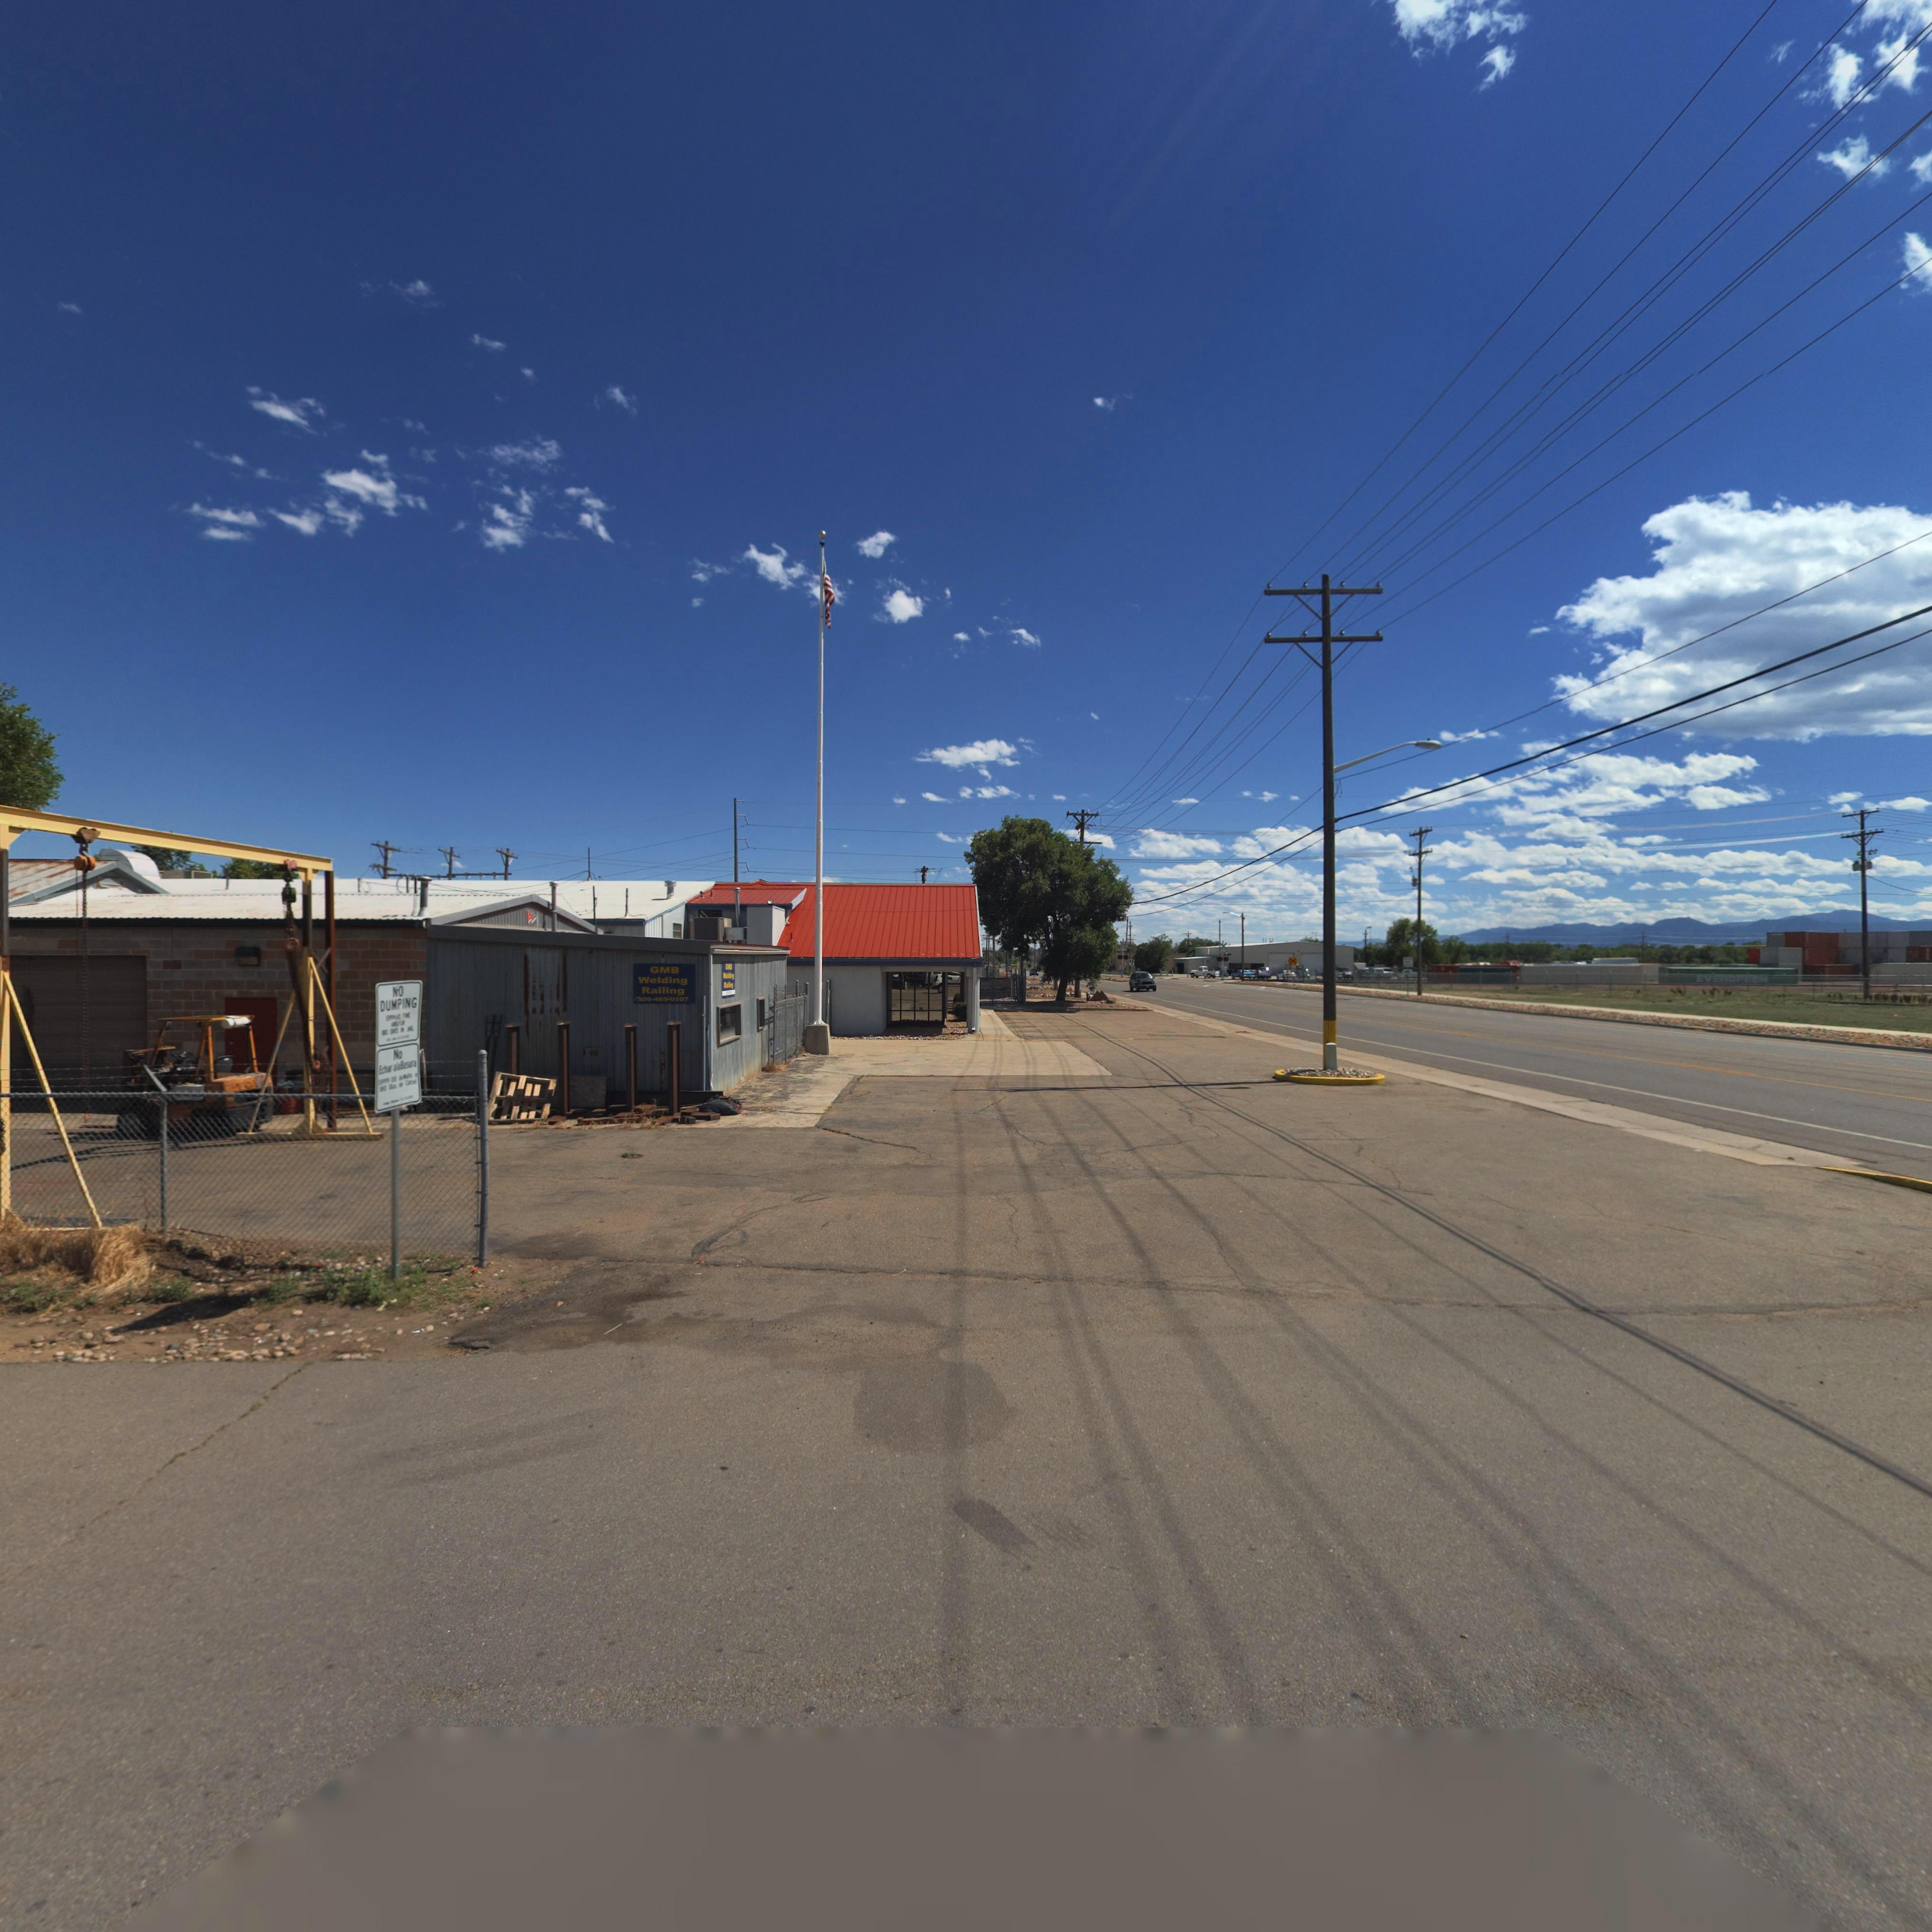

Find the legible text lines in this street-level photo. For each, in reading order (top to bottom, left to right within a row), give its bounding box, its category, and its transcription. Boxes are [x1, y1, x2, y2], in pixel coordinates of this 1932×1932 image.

[649, 966, 679, 974] BusinessName: GMB
[725, 964, 732, 970] BusinessName: G*B